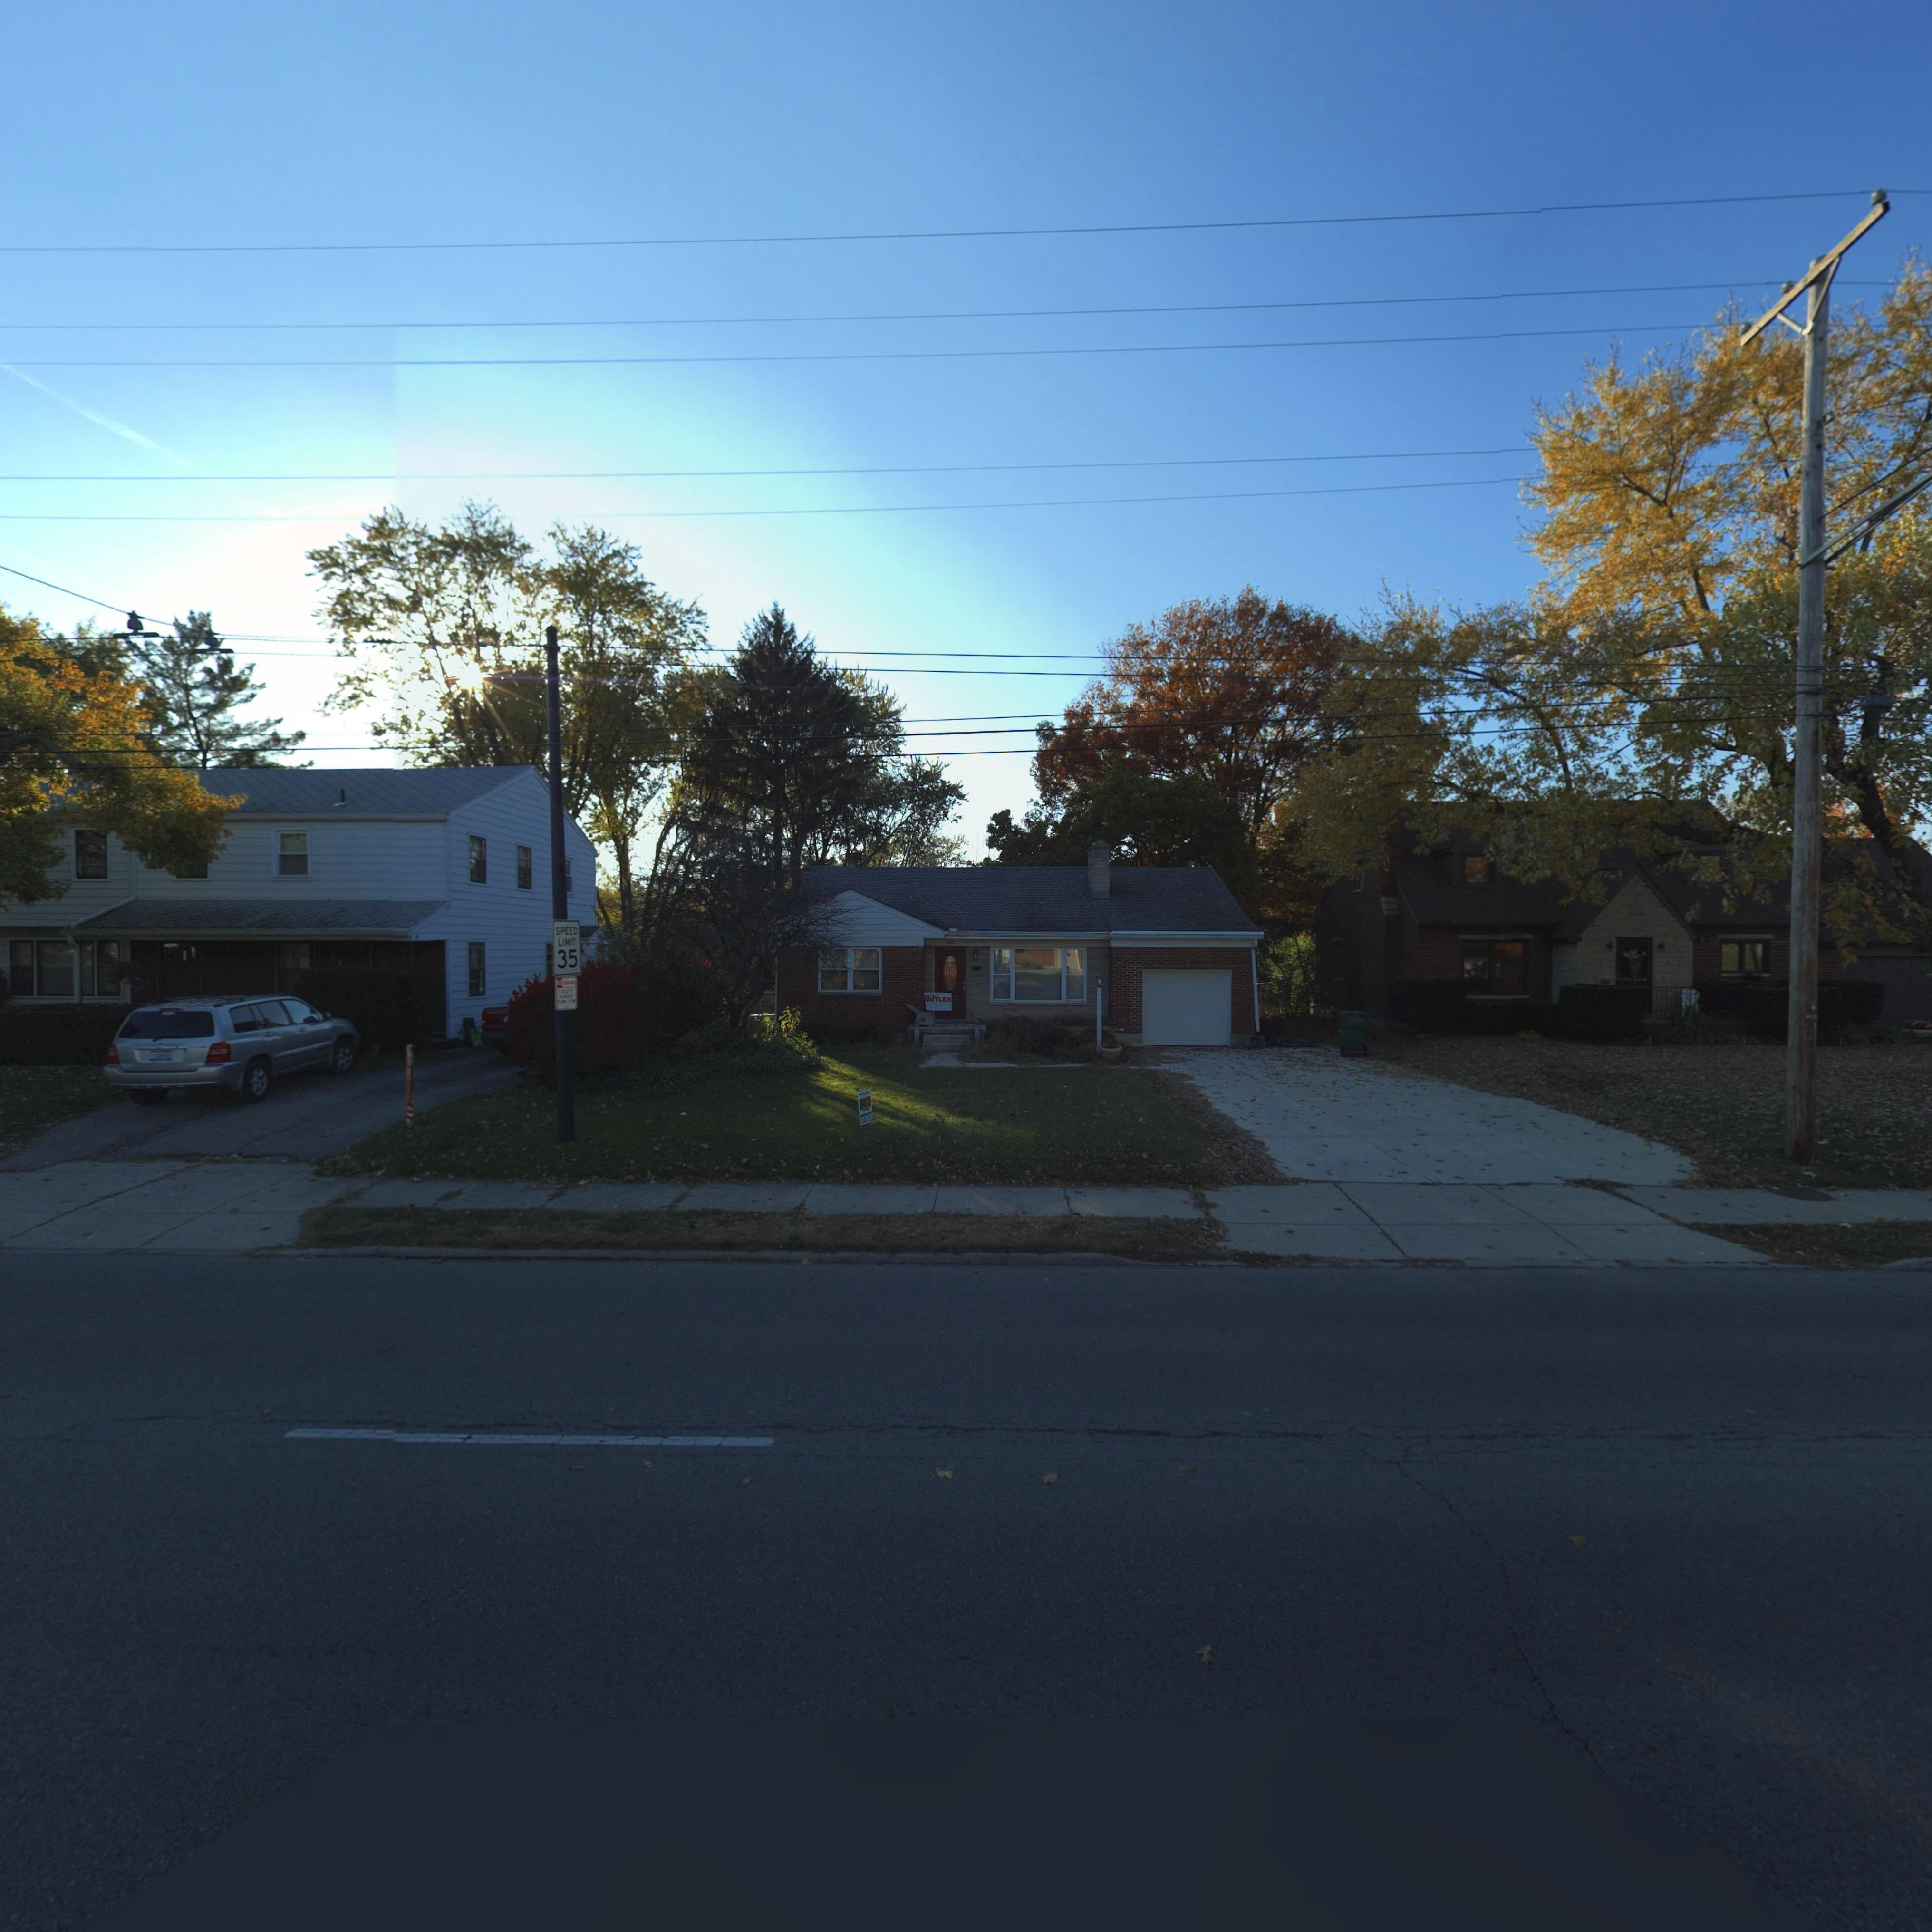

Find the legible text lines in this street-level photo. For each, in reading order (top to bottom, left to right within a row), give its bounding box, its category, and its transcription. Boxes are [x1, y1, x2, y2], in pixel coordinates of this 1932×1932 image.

[946, 941, 954, 944] StreetNumber: 38*3